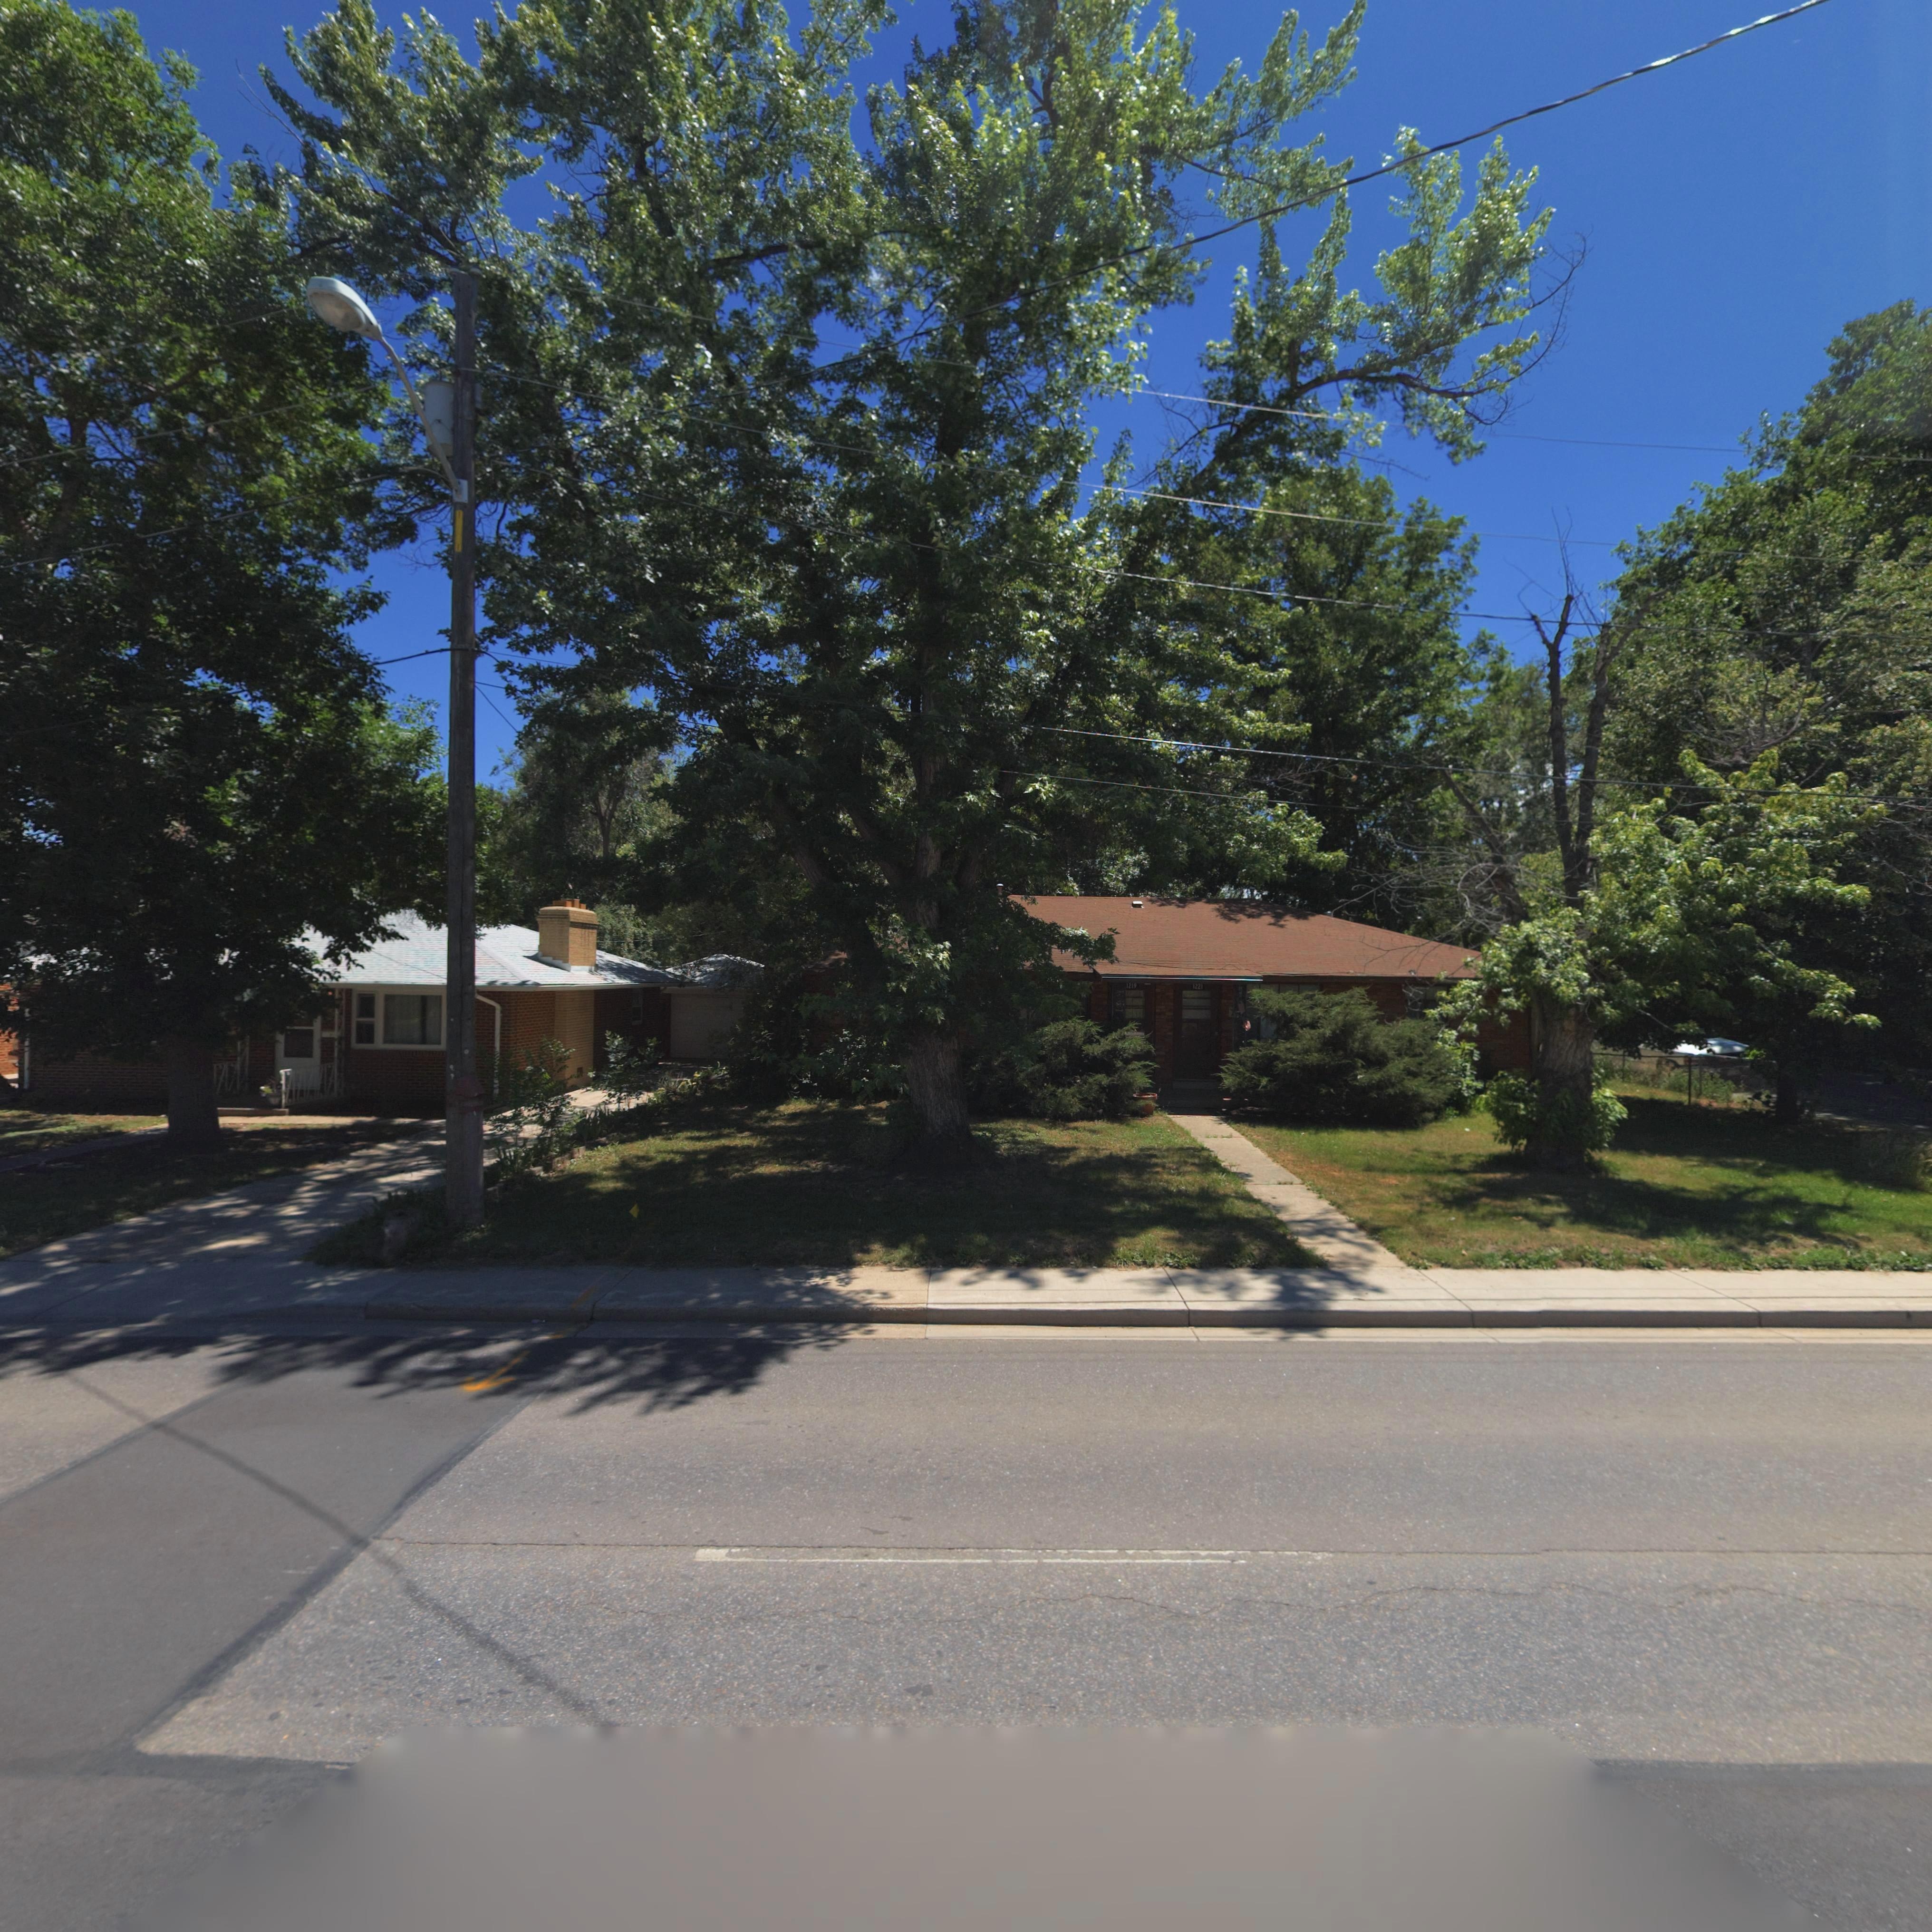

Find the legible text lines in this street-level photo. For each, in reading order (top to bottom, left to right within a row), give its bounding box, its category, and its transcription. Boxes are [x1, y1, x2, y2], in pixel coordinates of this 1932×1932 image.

[1126, 983, 1136, 989] StreetNumber: 1219
[1192, 983, 1203, 990] StreetNumber: 1221